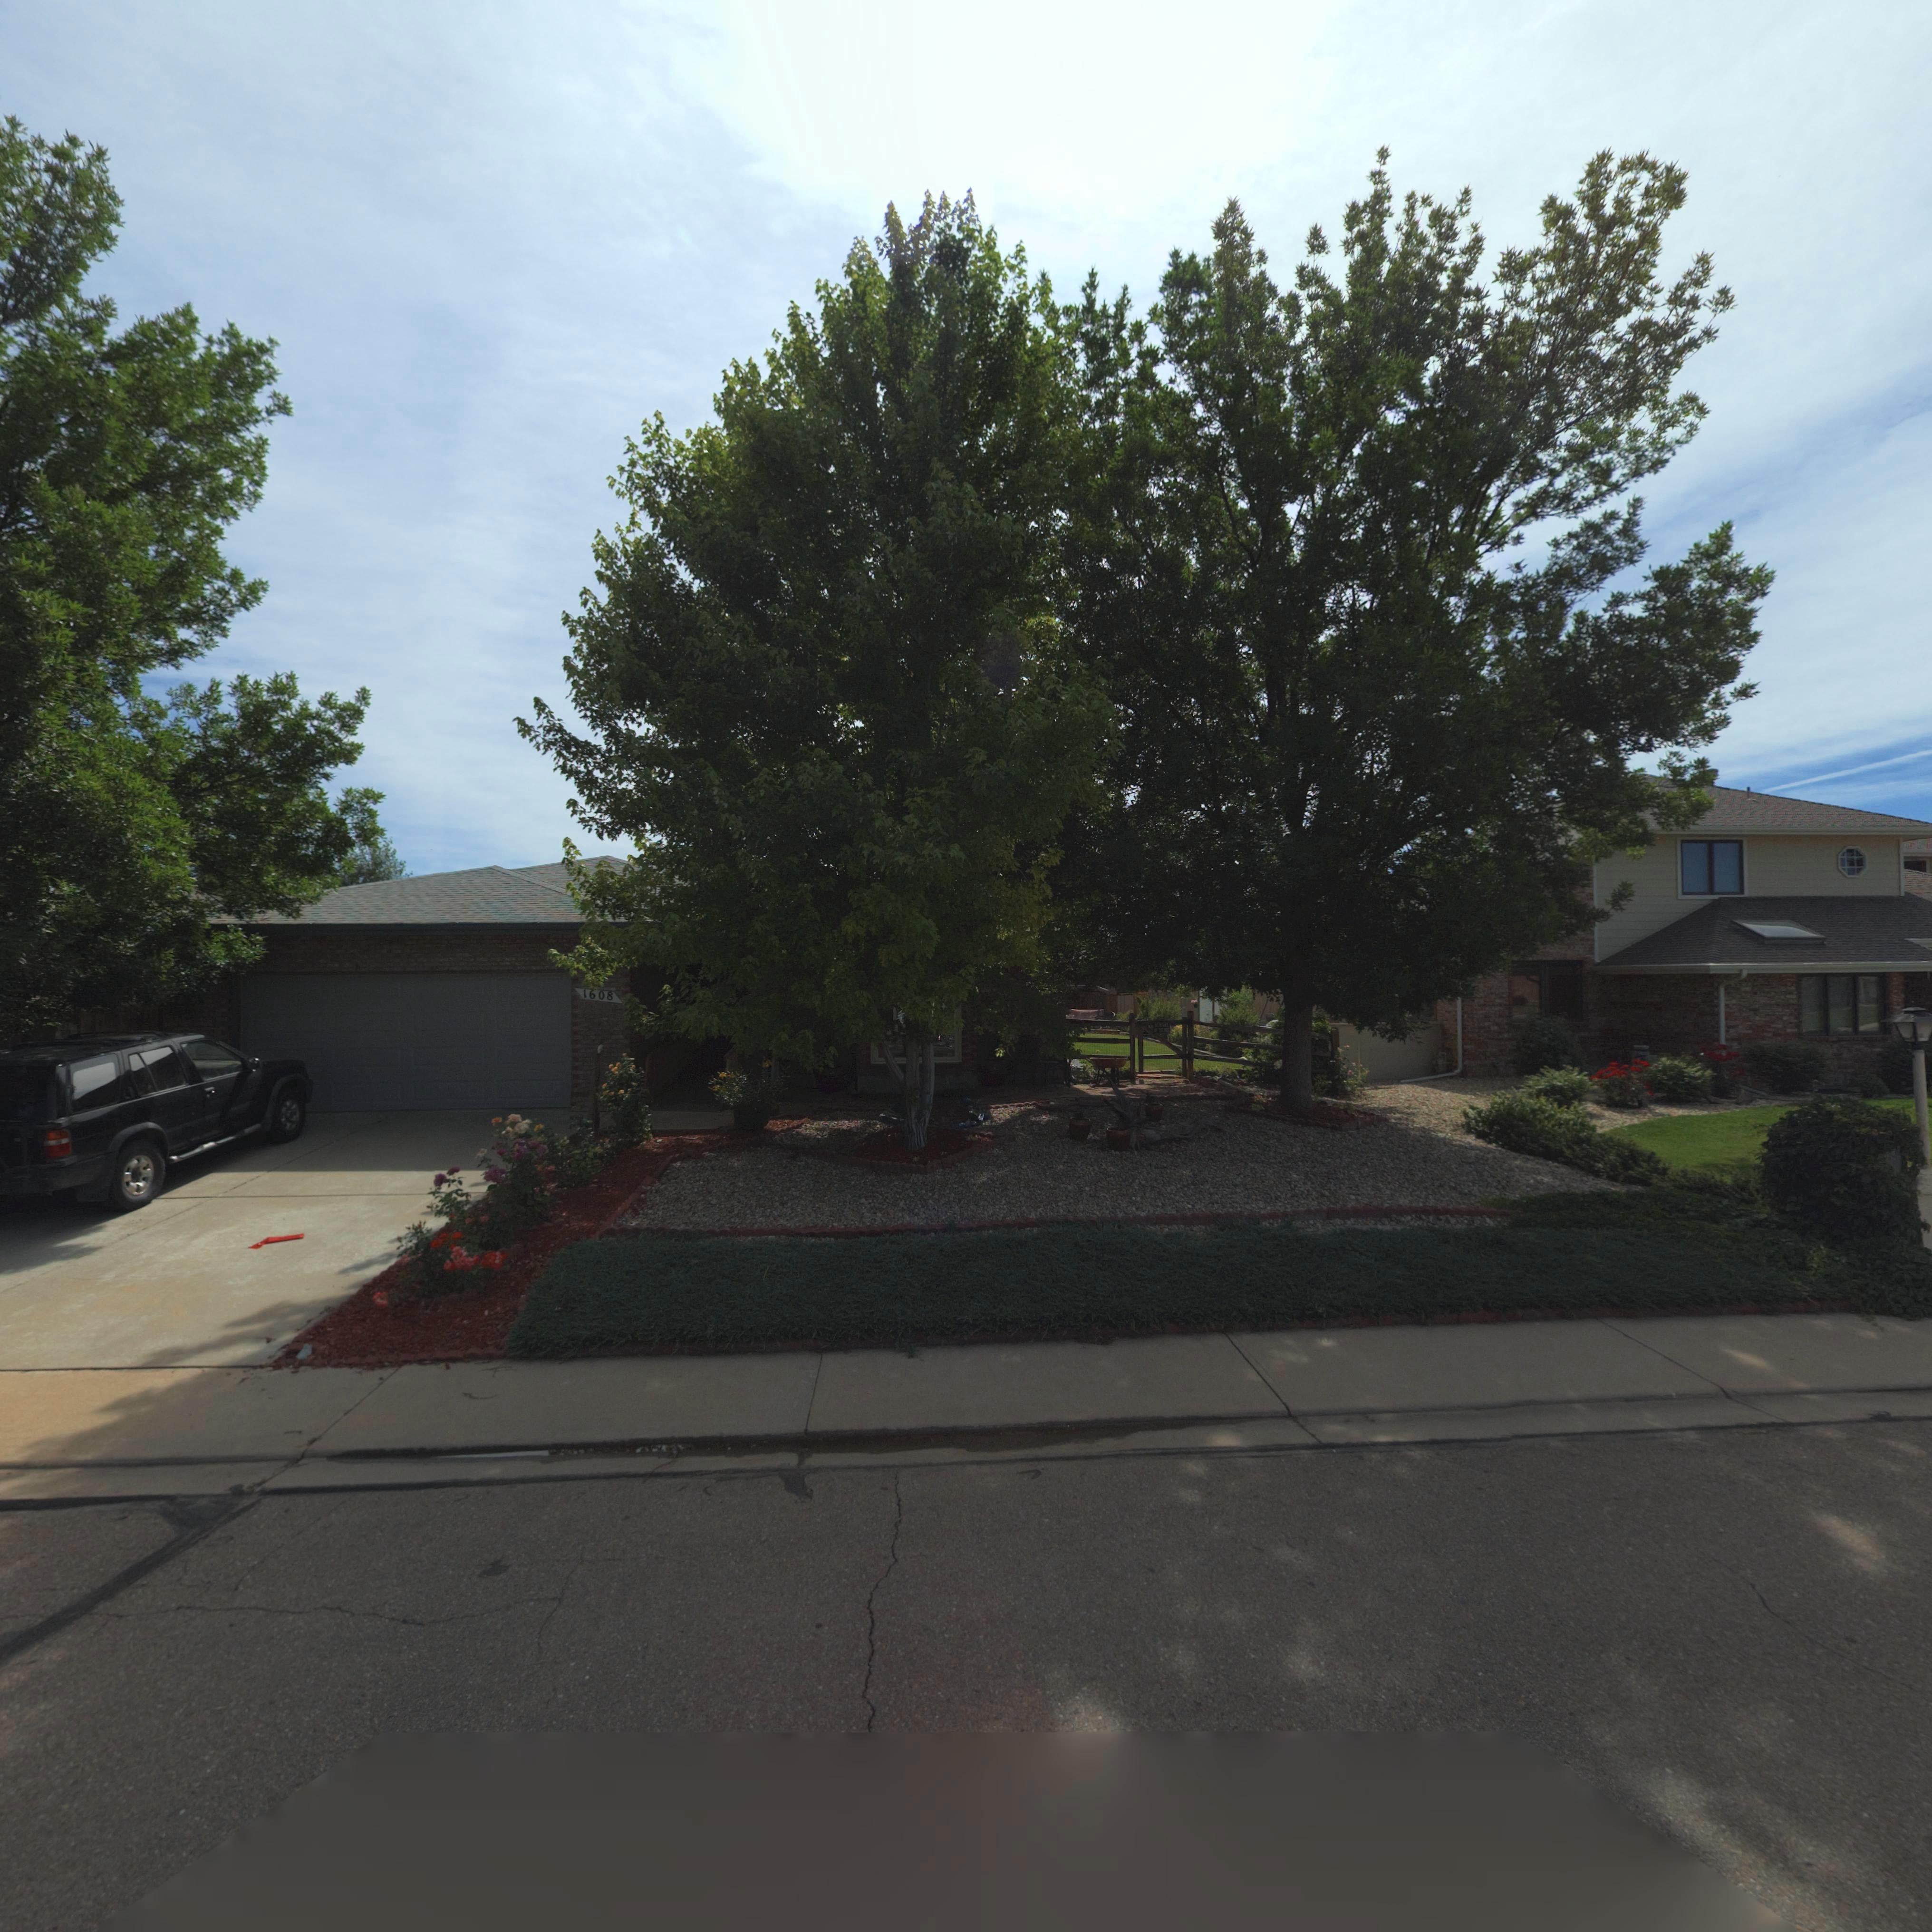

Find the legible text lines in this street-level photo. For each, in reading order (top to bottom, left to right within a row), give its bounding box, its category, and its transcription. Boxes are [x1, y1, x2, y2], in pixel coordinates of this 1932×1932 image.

[583, 988, 614, 1001] StreetNumber: 1608